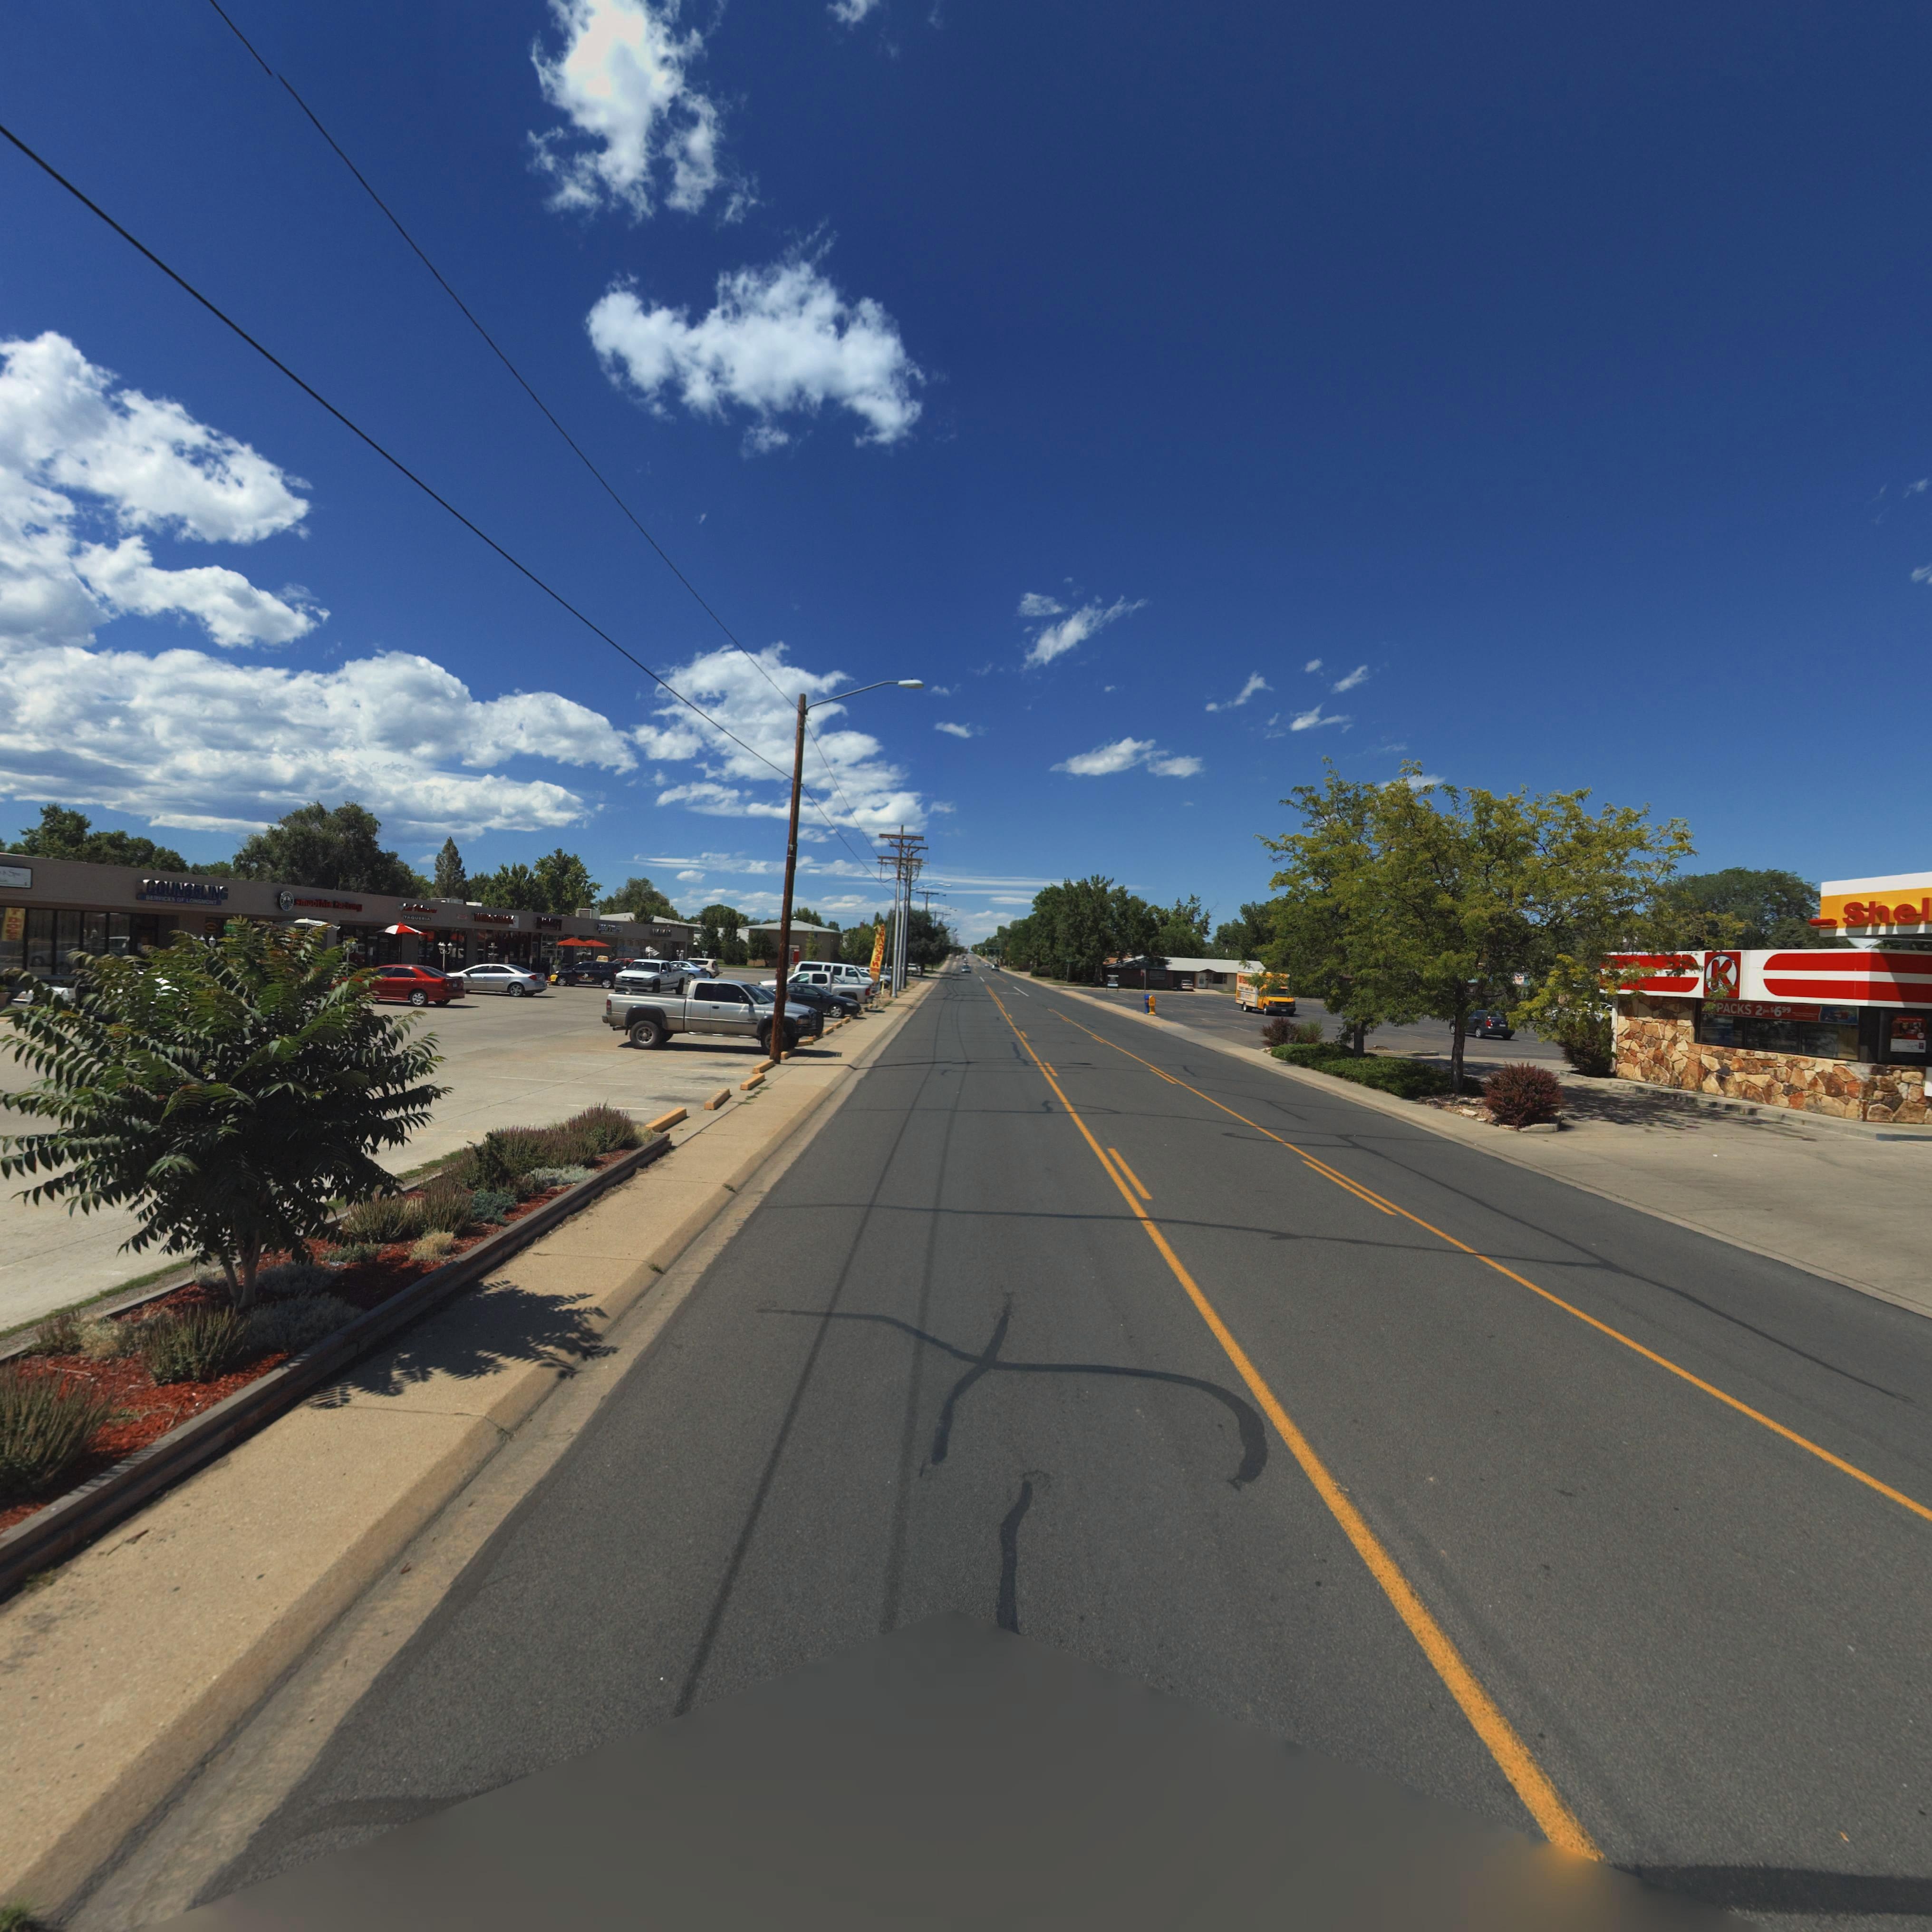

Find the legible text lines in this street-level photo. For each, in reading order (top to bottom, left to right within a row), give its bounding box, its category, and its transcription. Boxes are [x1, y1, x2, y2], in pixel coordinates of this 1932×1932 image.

[6, 868, 21, 879] BusinessName: Spa
[145, 879, 229, 900] BusinessName: COUNSELING
[295, 898, 333, 909] BusinessName: smoothie
[335, 900, 362, 912] BusinessName: Factory
[401, 902, 437, 914] BusinessName: Las Pal**as
[1840, 897, 1930, 925] BusinessName: Shel
[474, 912, 514, 925] BusinessName: WING SHACK
[535, 916, 563, 931] BusinessName: R****I
[598, 923, 623, 932] BusinessName: ZIGGIS COFFEE